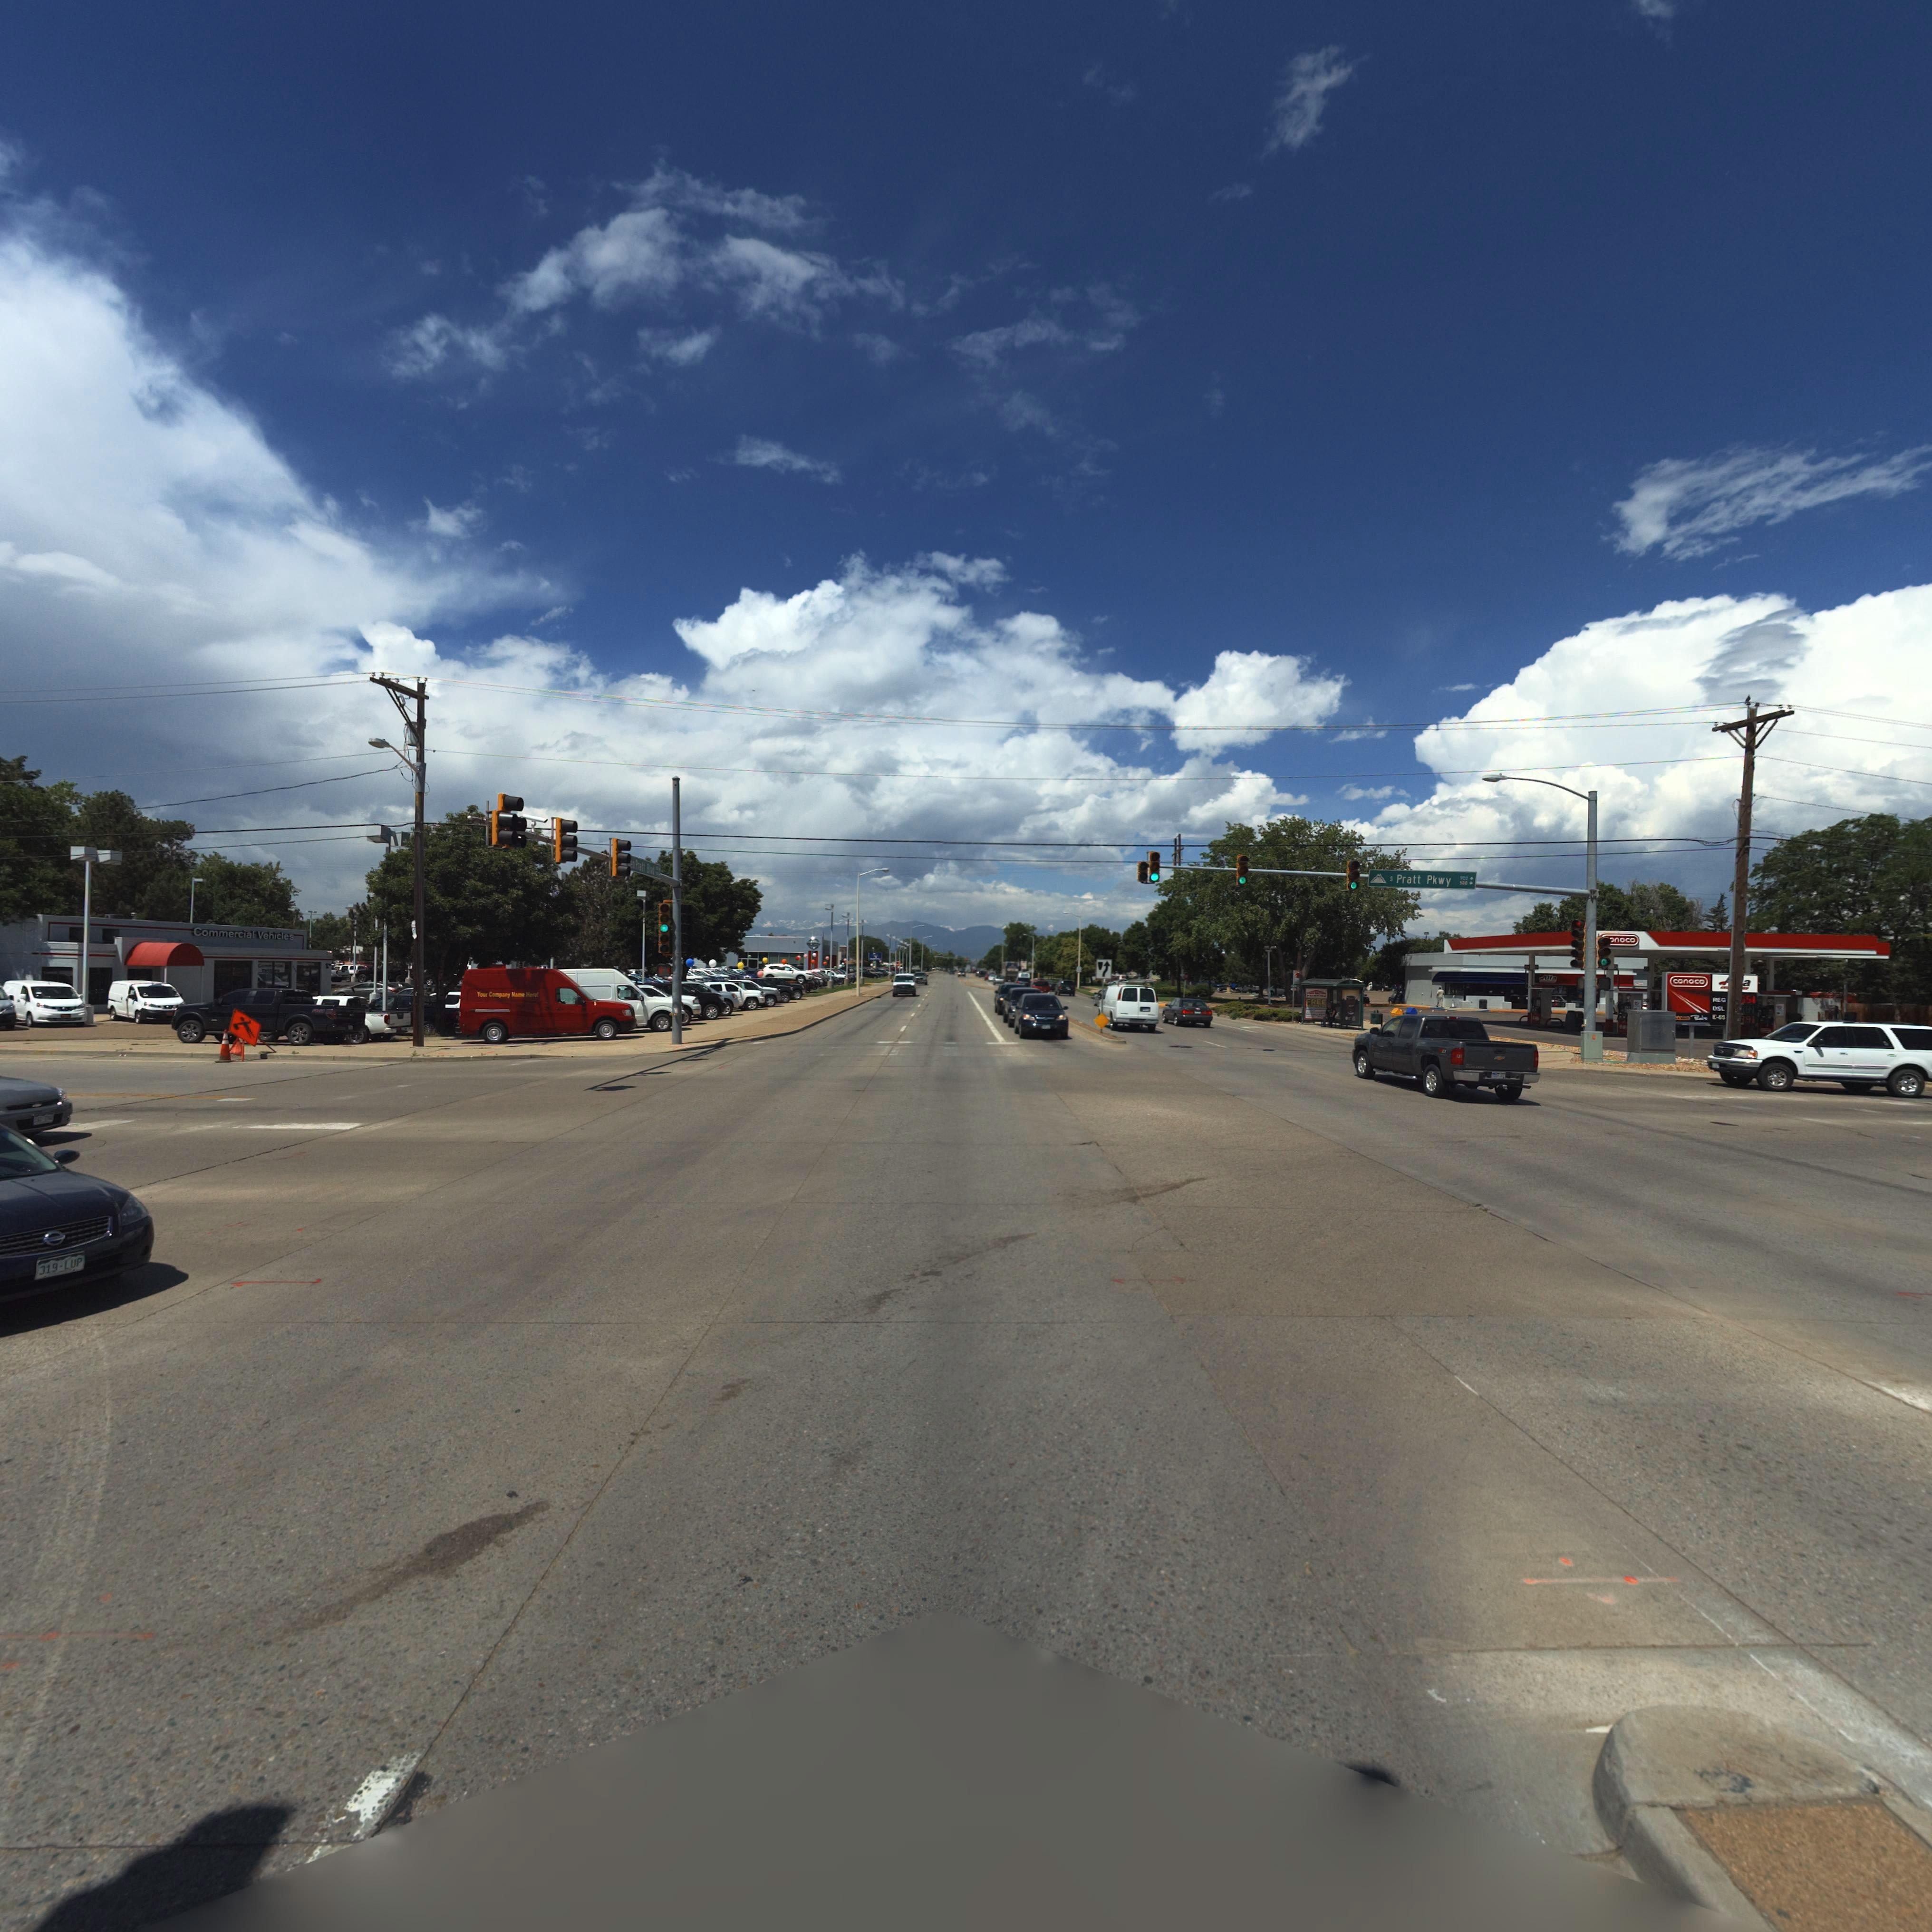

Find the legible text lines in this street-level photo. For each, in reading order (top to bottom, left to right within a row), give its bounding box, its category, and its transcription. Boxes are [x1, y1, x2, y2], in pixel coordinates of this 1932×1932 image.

[632, 859, 655, 875] StreetName: n Pratt Blvd
[1389, 874, 1451, 888] StreetName: S Pratt Pkwy
[1460, 876, 1468, 880] StreetNumberRange: 900
[1459, 880, 1473, 885] StreetNumberRange: *00 ->
[1609, 937, 1635, 943] BusinessName: *noco
[1539, 975, 1556, 980] BusinessName: Alta
[1672, 978, 1705, 984] BusinessName: conoco
[1741, 979, 1751, 986] BusinessName: a